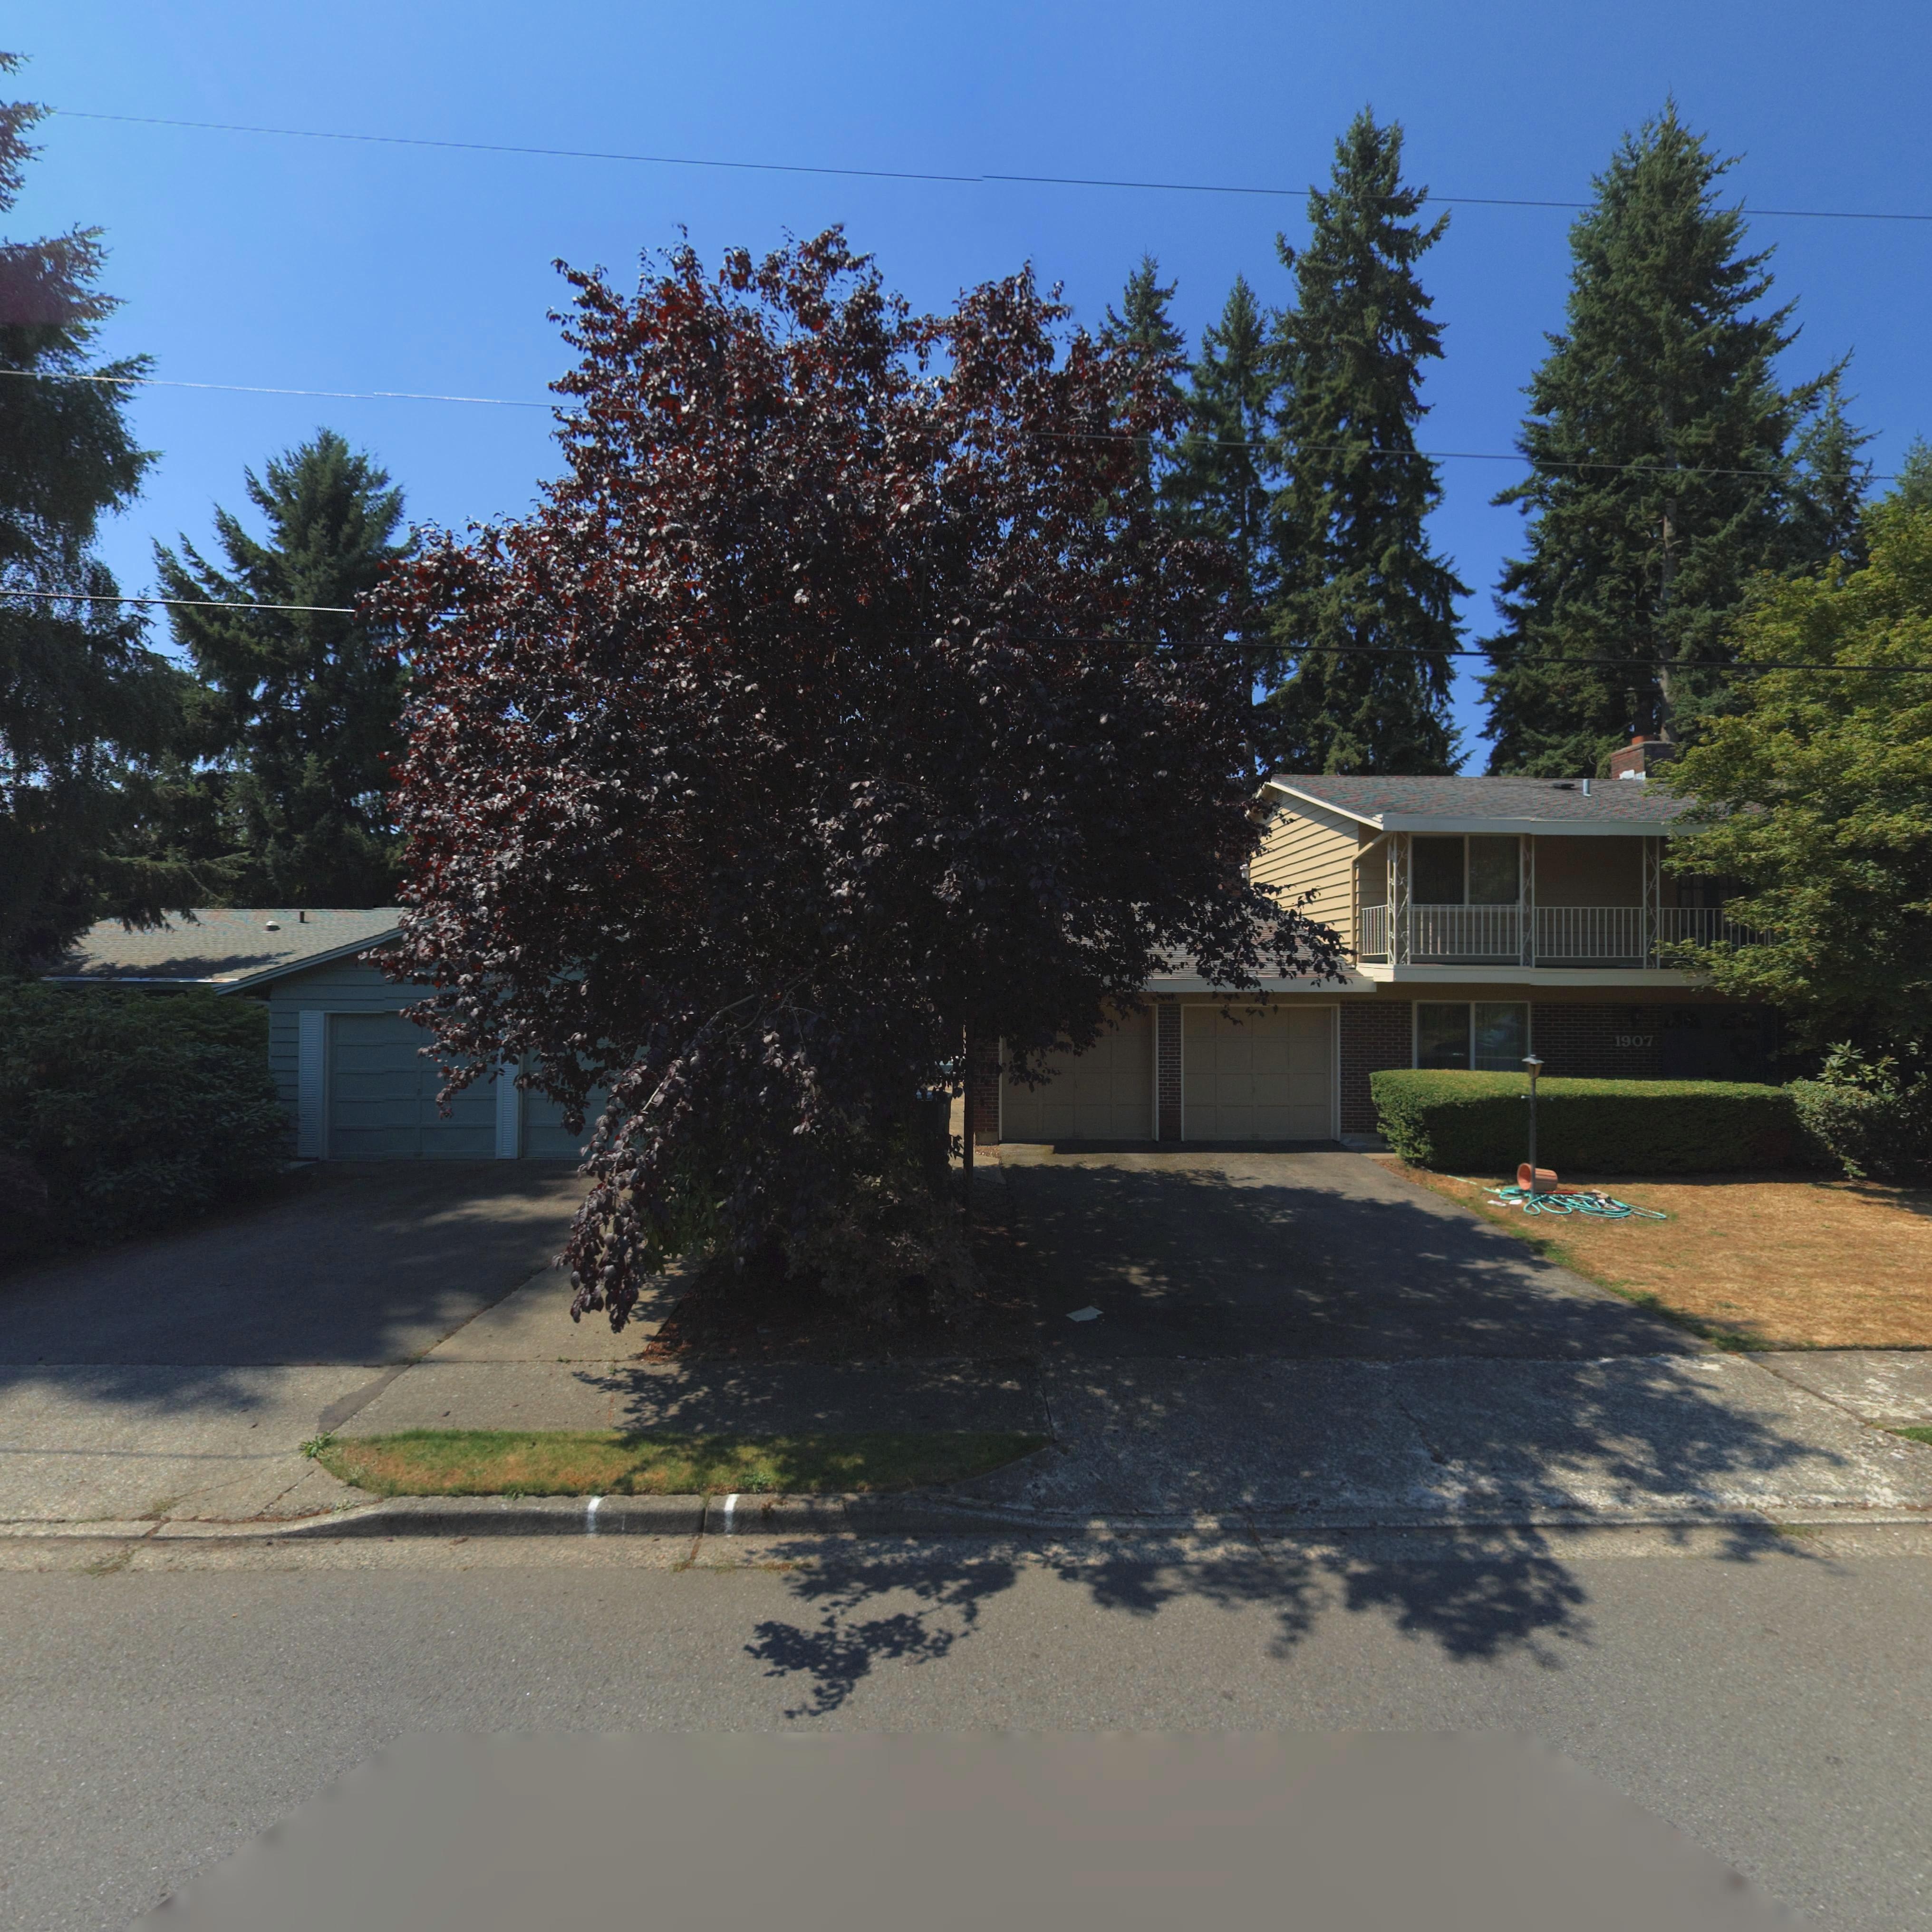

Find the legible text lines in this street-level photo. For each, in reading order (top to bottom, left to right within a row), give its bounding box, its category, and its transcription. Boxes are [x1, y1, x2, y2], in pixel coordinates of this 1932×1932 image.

[1614, 1034, 1654, 1047] StreetNumber: 1907